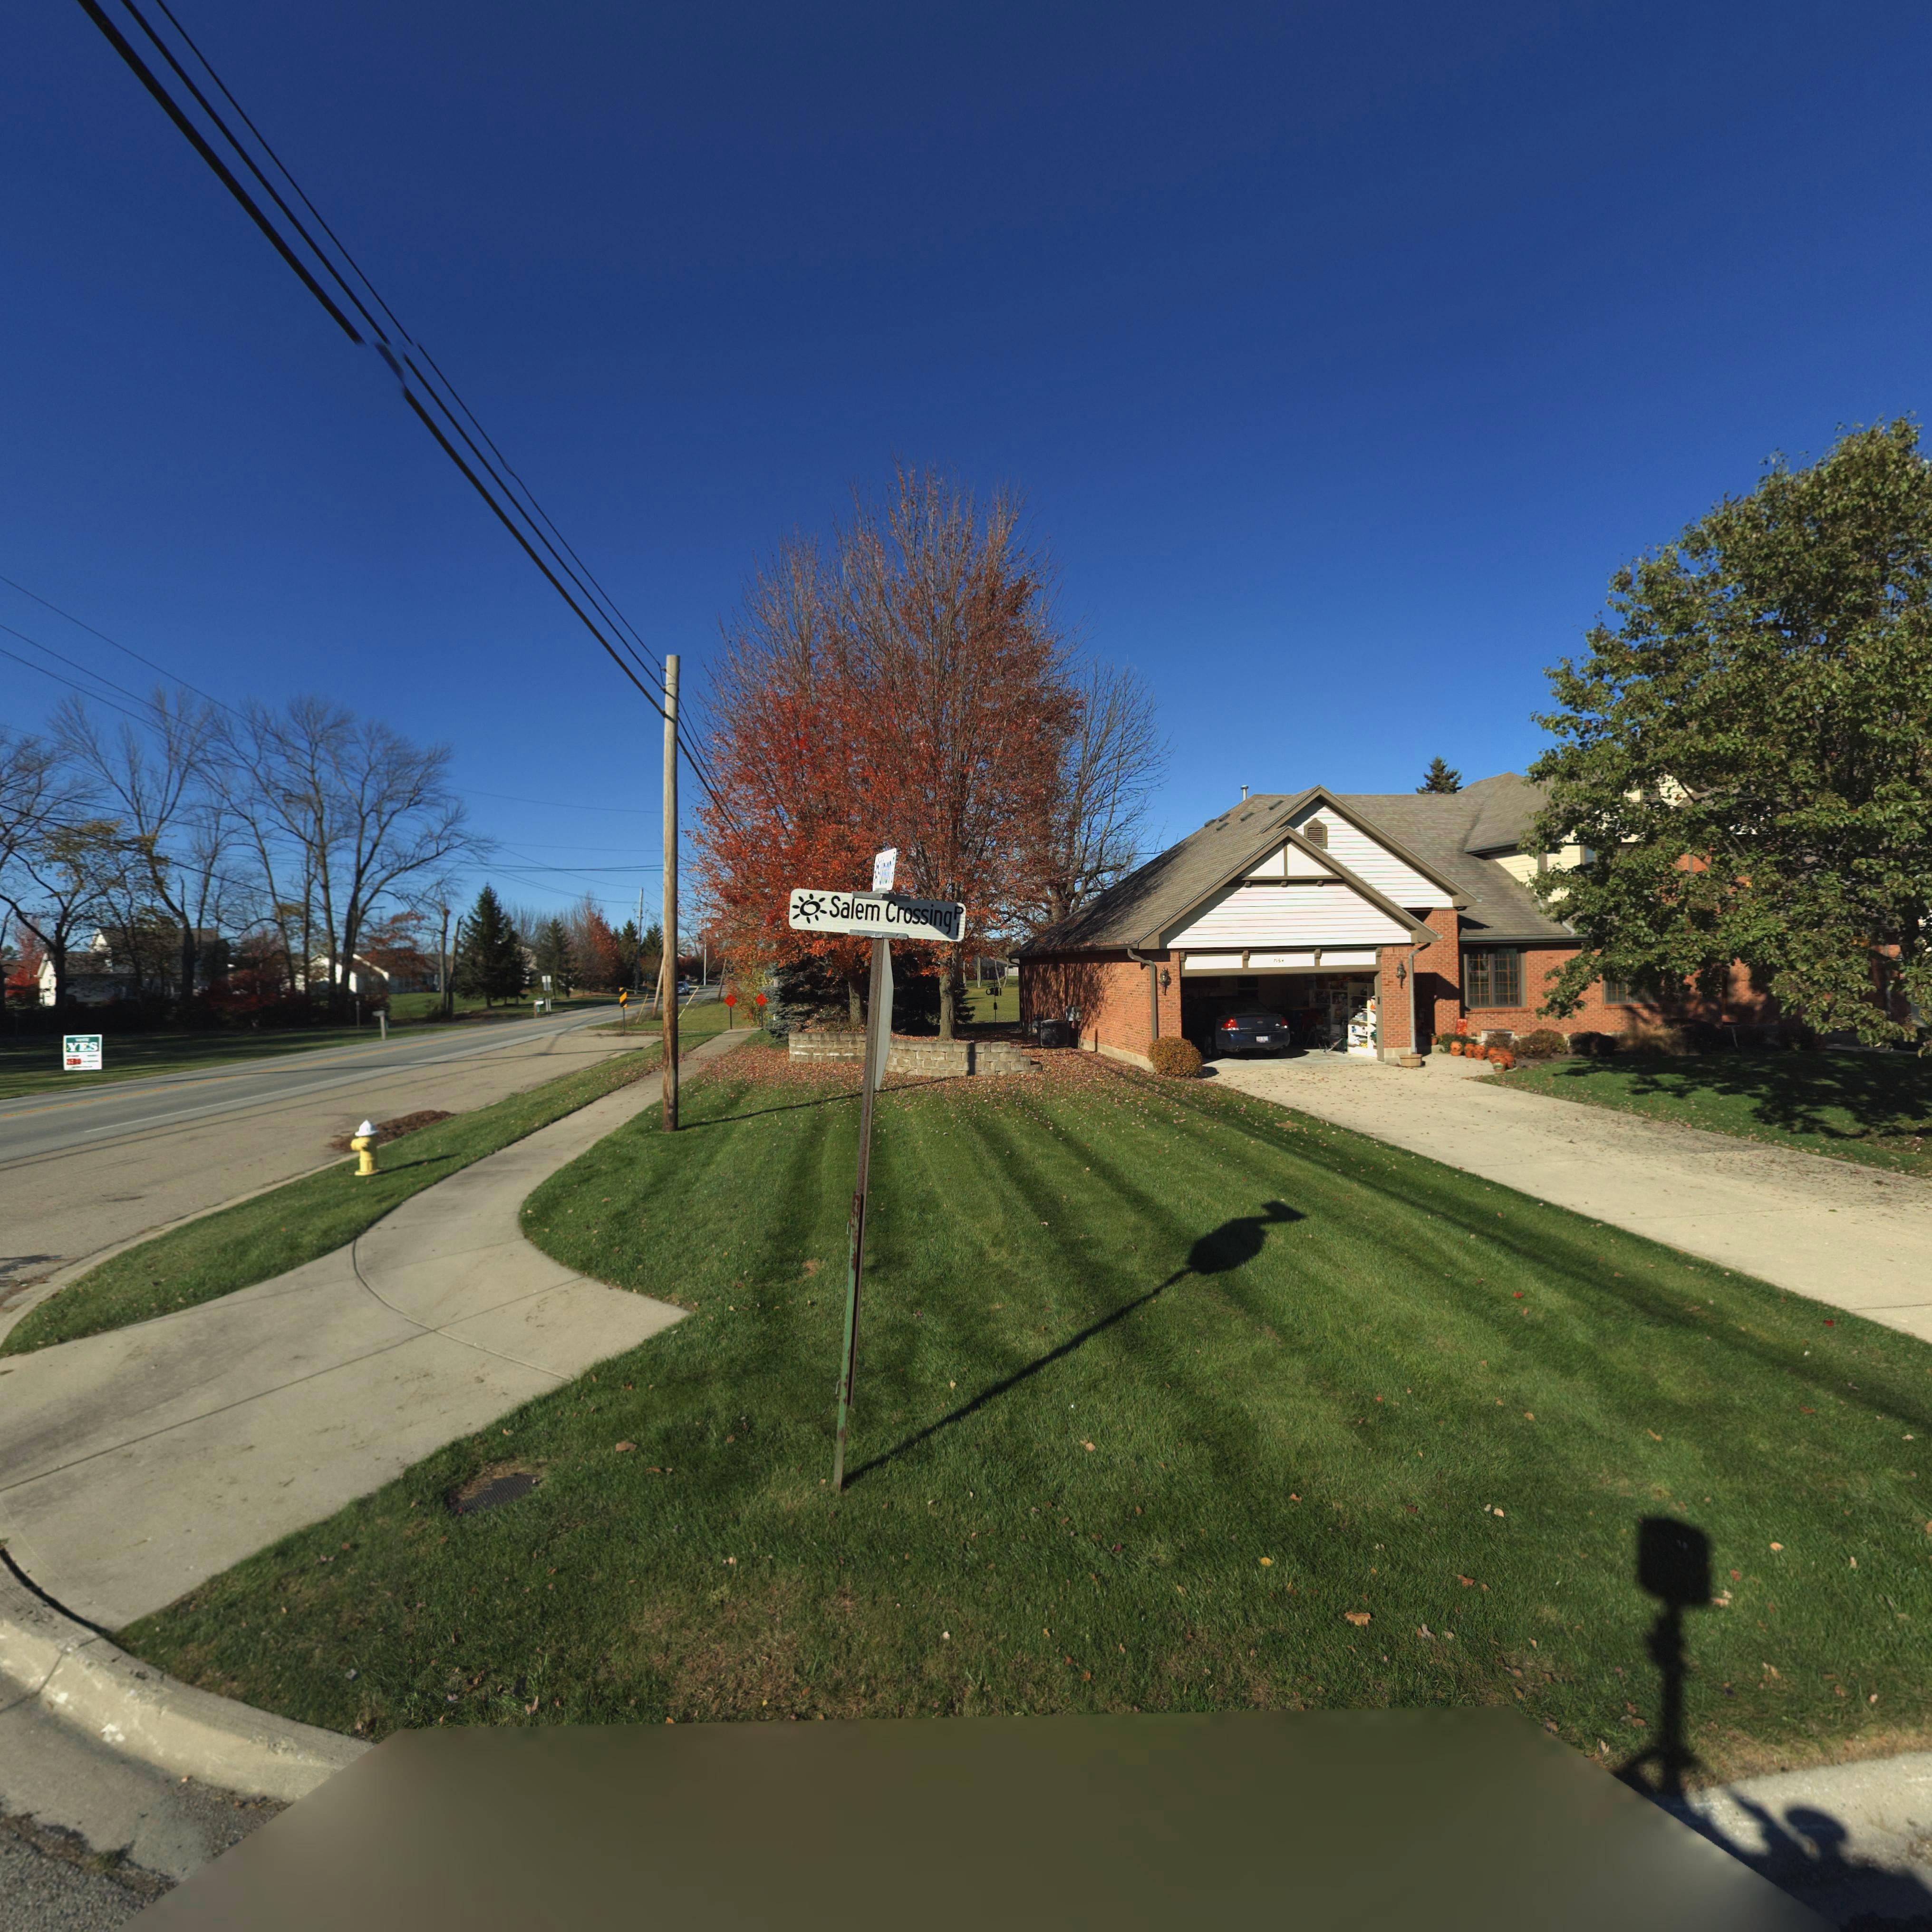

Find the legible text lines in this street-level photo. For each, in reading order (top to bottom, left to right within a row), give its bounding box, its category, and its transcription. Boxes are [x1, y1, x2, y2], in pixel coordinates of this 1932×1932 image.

[1273, 958, 1285, 963] StreetNumber: 7164